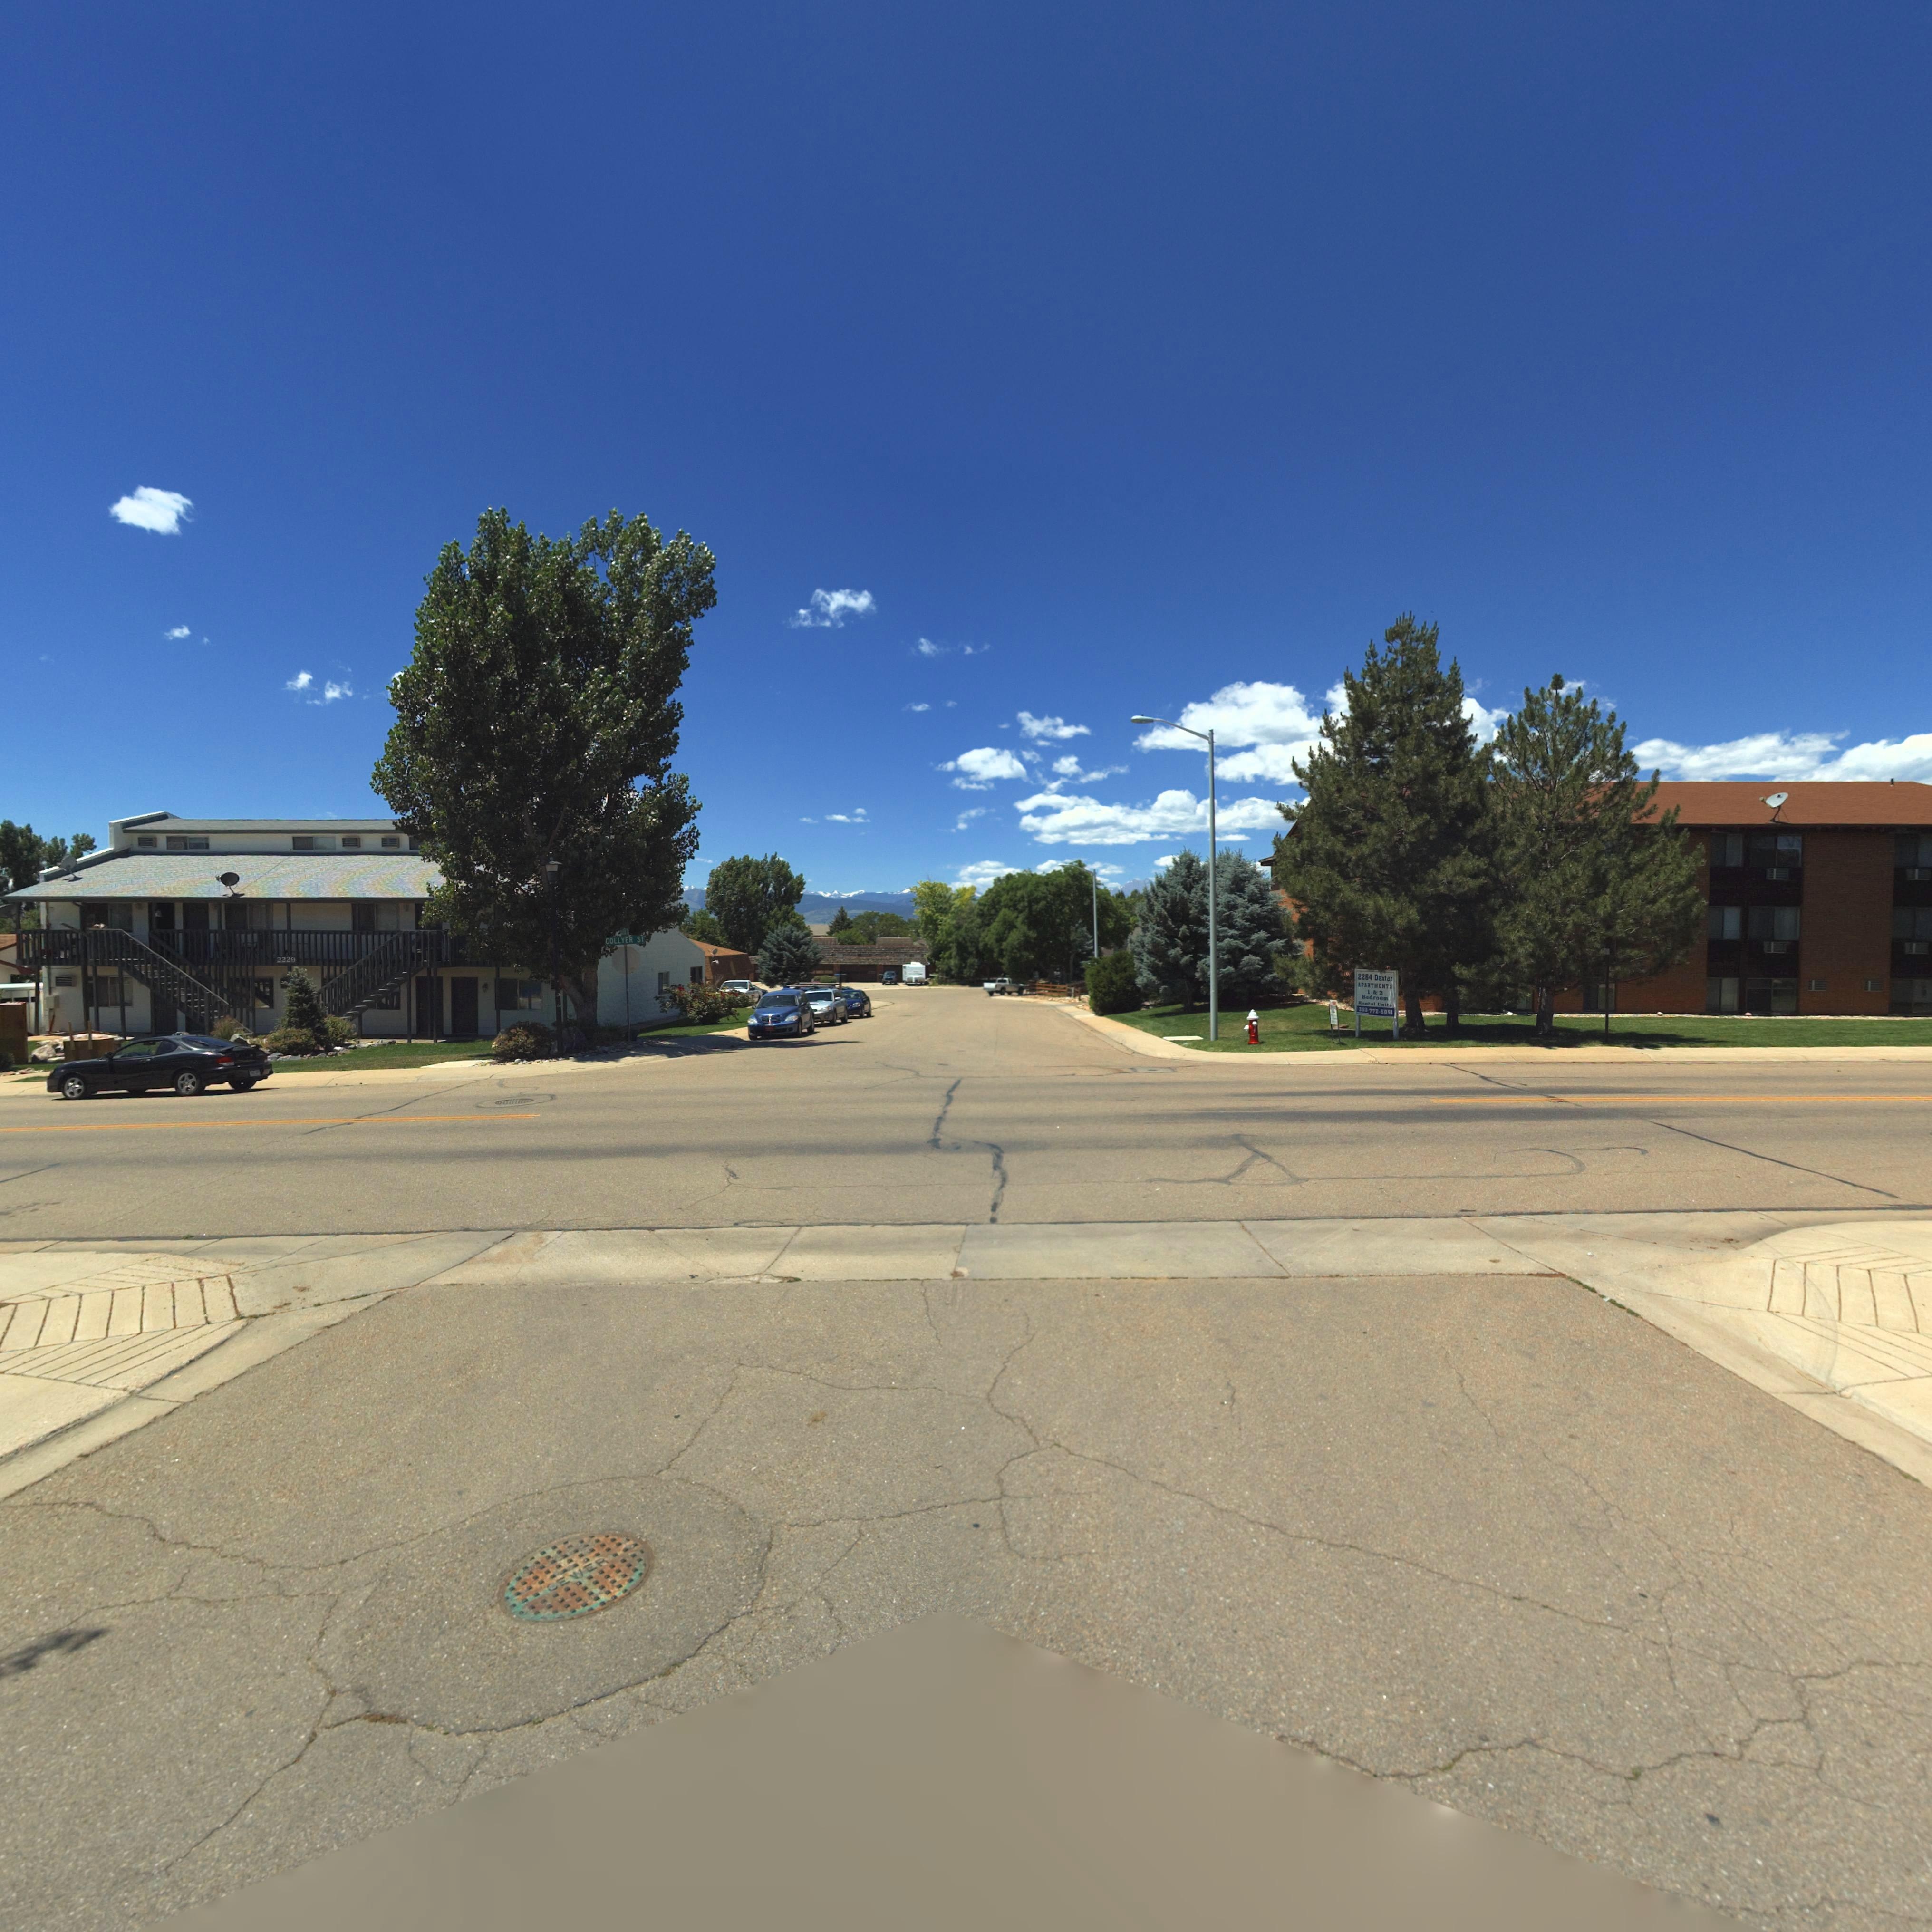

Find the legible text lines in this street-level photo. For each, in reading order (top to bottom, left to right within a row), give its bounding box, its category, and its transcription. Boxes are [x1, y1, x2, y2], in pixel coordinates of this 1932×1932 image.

[605, 936, 644, 944] StreetName: COLLYER ST
[277, 956, 296, 963] StreetNumber: 2229
[1358, 973, 1372, 980] StreetNumber: 2264
[1374, 974, 1392, 981] StreetName: Dexter